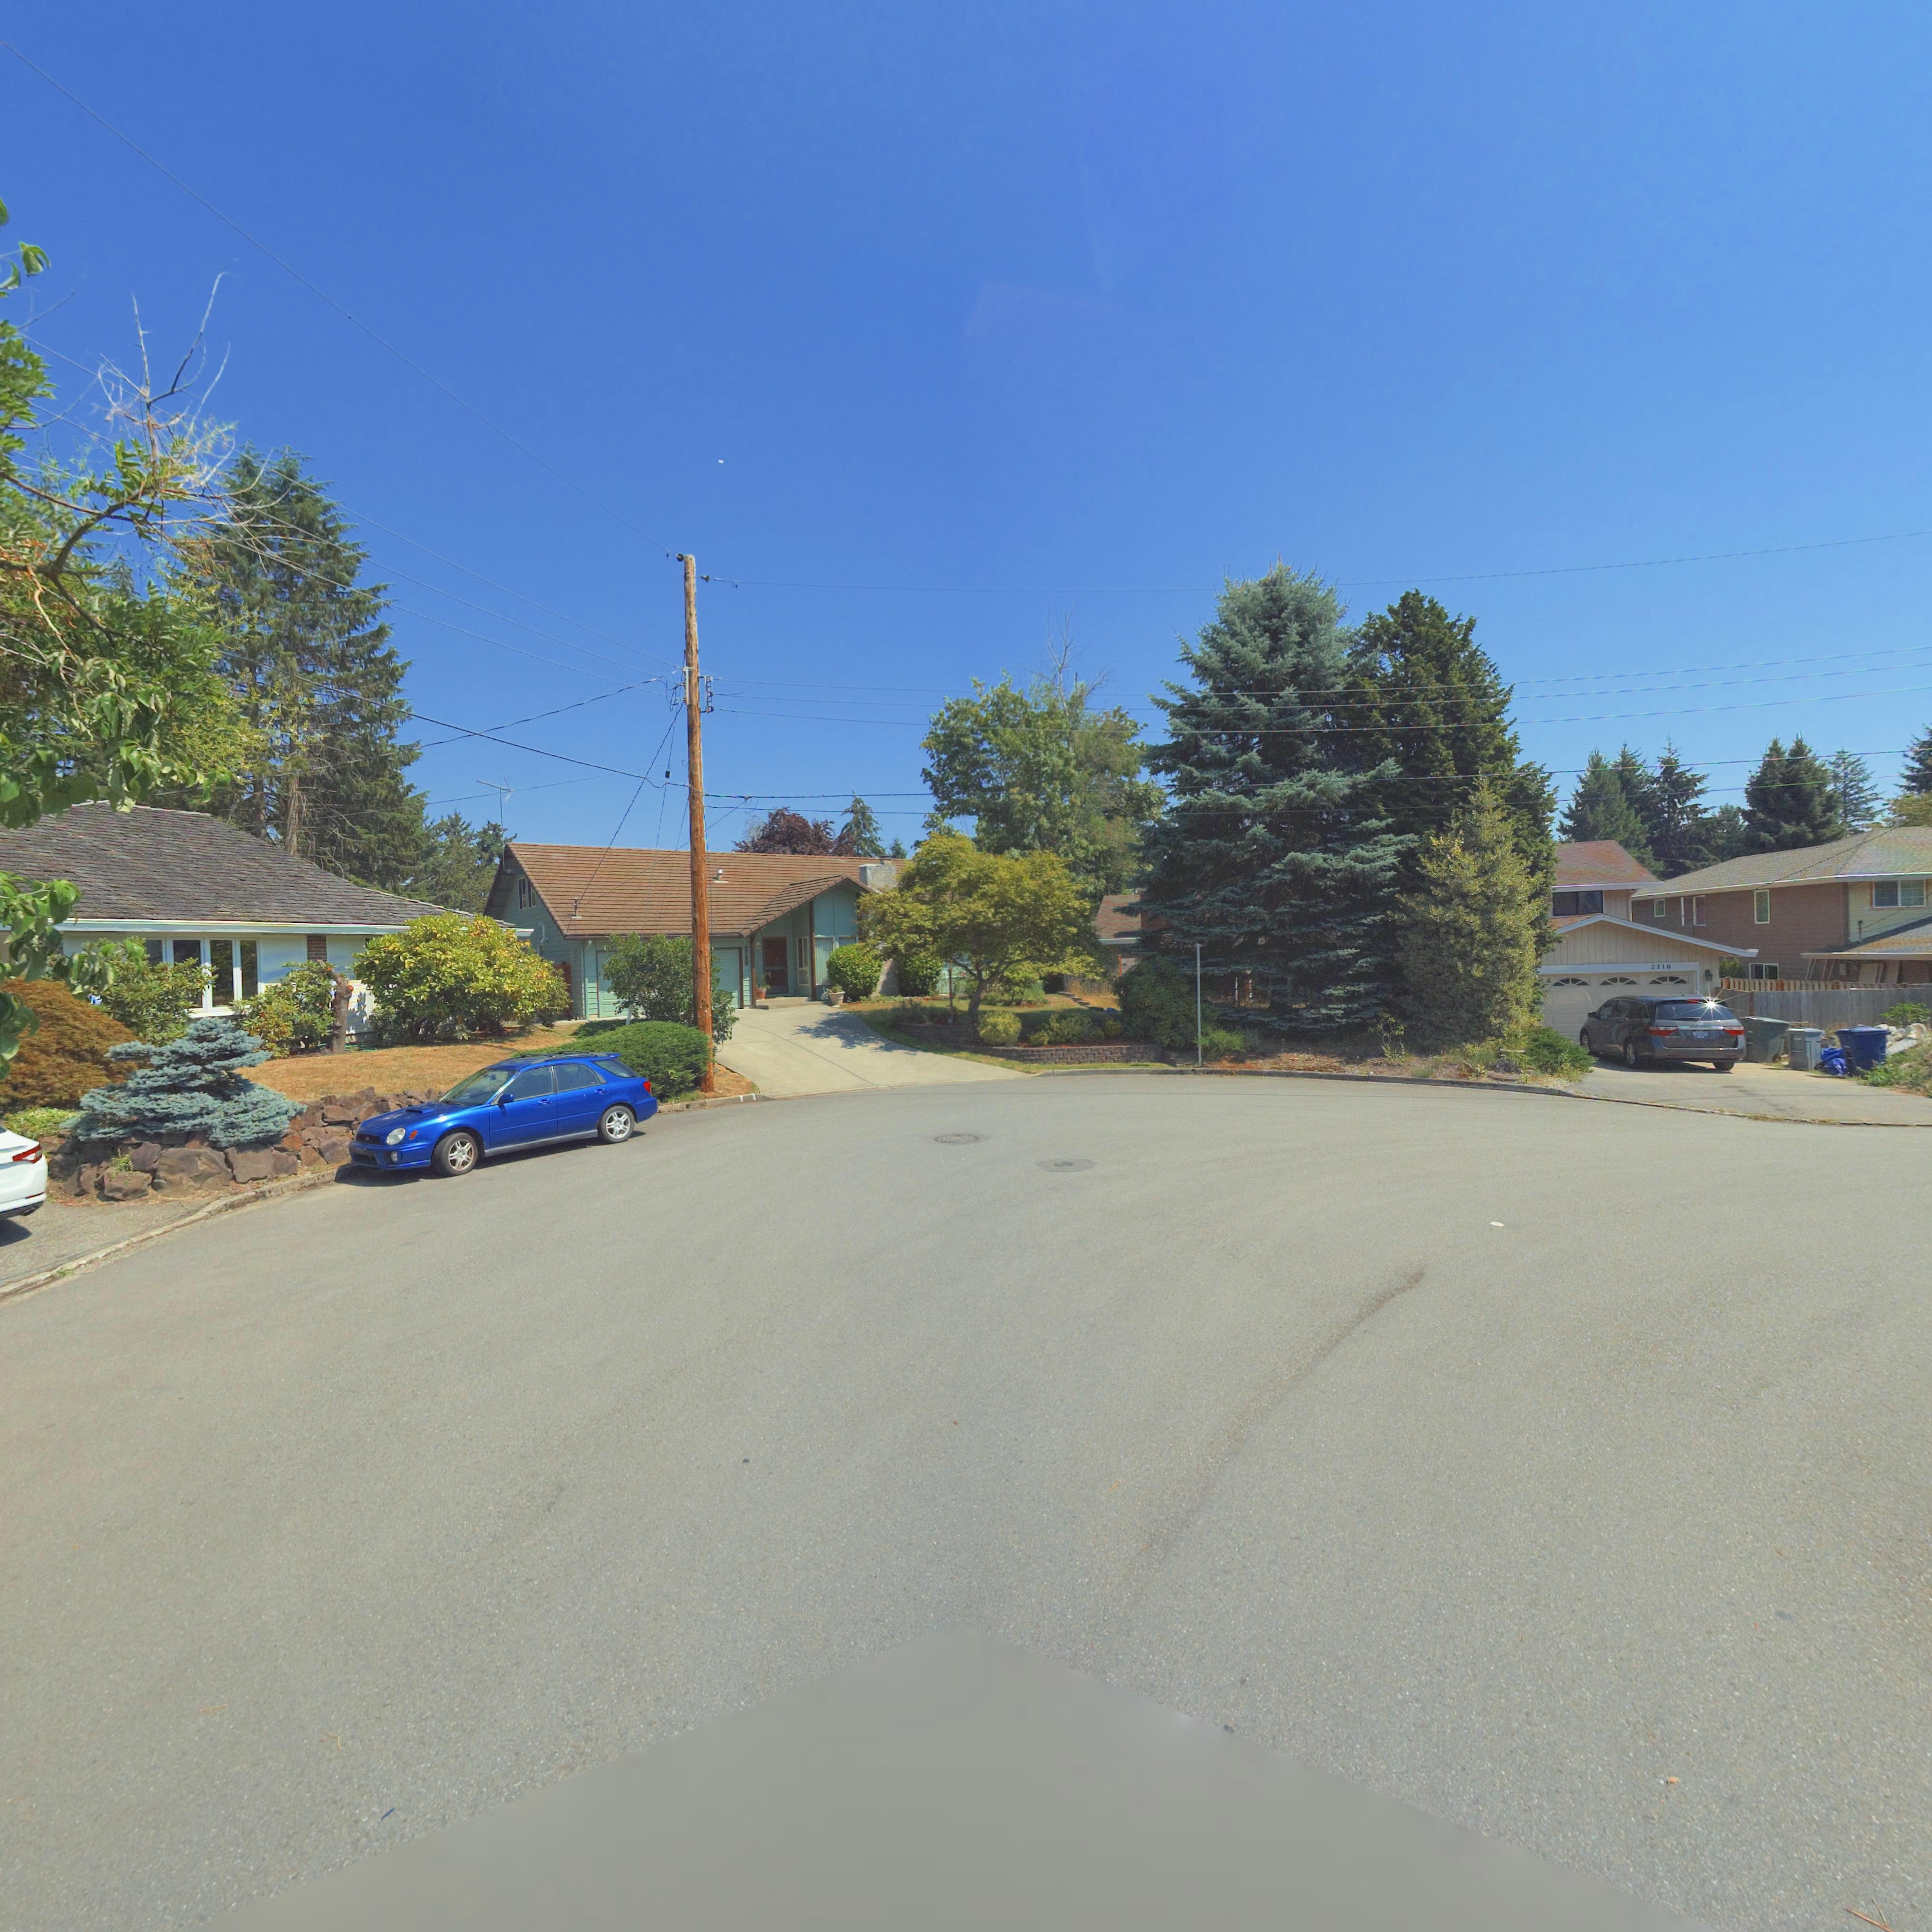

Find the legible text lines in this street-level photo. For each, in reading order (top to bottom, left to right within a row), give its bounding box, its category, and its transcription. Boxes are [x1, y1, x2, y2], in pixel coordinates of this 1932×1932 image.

[1651, 964, 1671, 969] StreetNumber: 2116